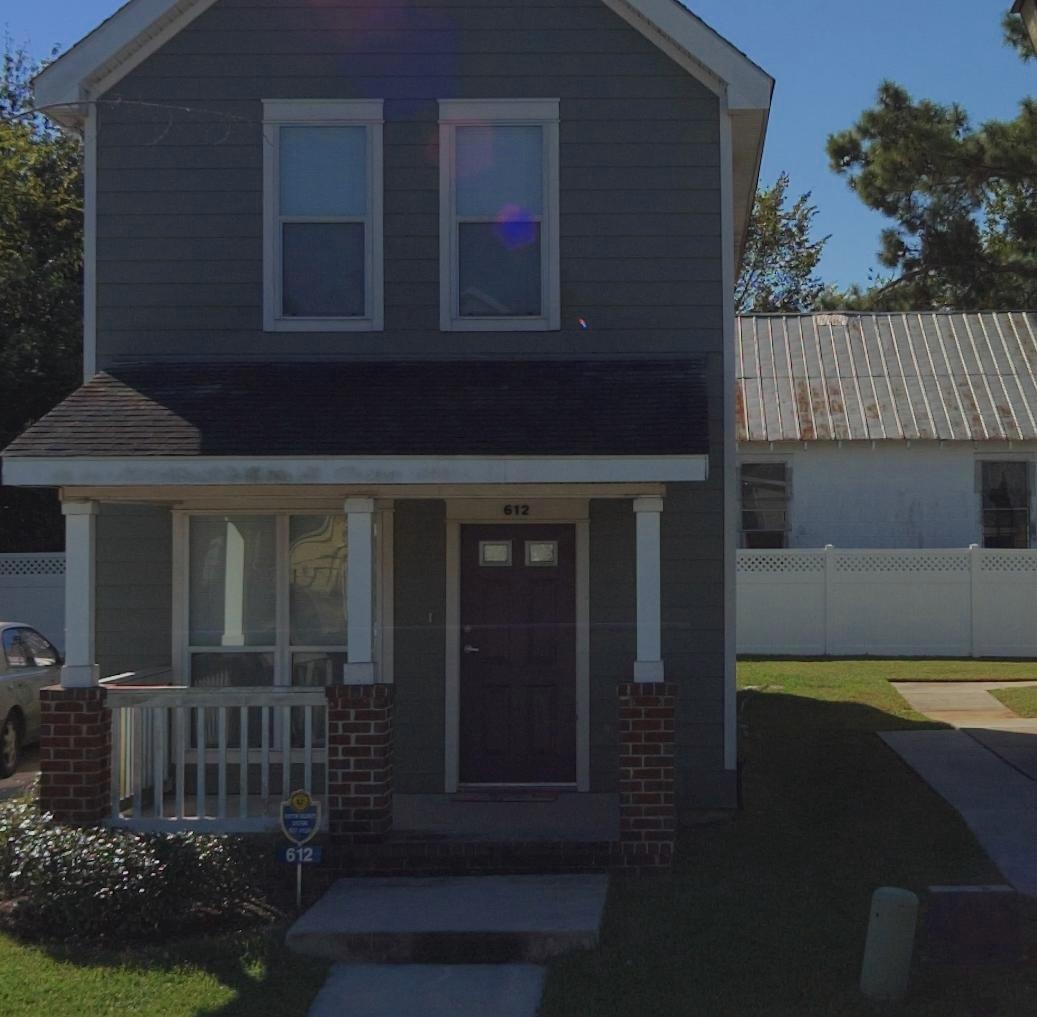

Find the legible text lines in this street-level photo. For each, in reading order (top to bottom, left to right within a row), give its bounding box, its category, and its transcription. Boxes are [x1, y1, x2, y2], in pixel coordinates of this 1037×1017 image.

[502, 503, 532, 517] StreetNumber: 612
[285, 846, 315, 864] StreetNumber: 612